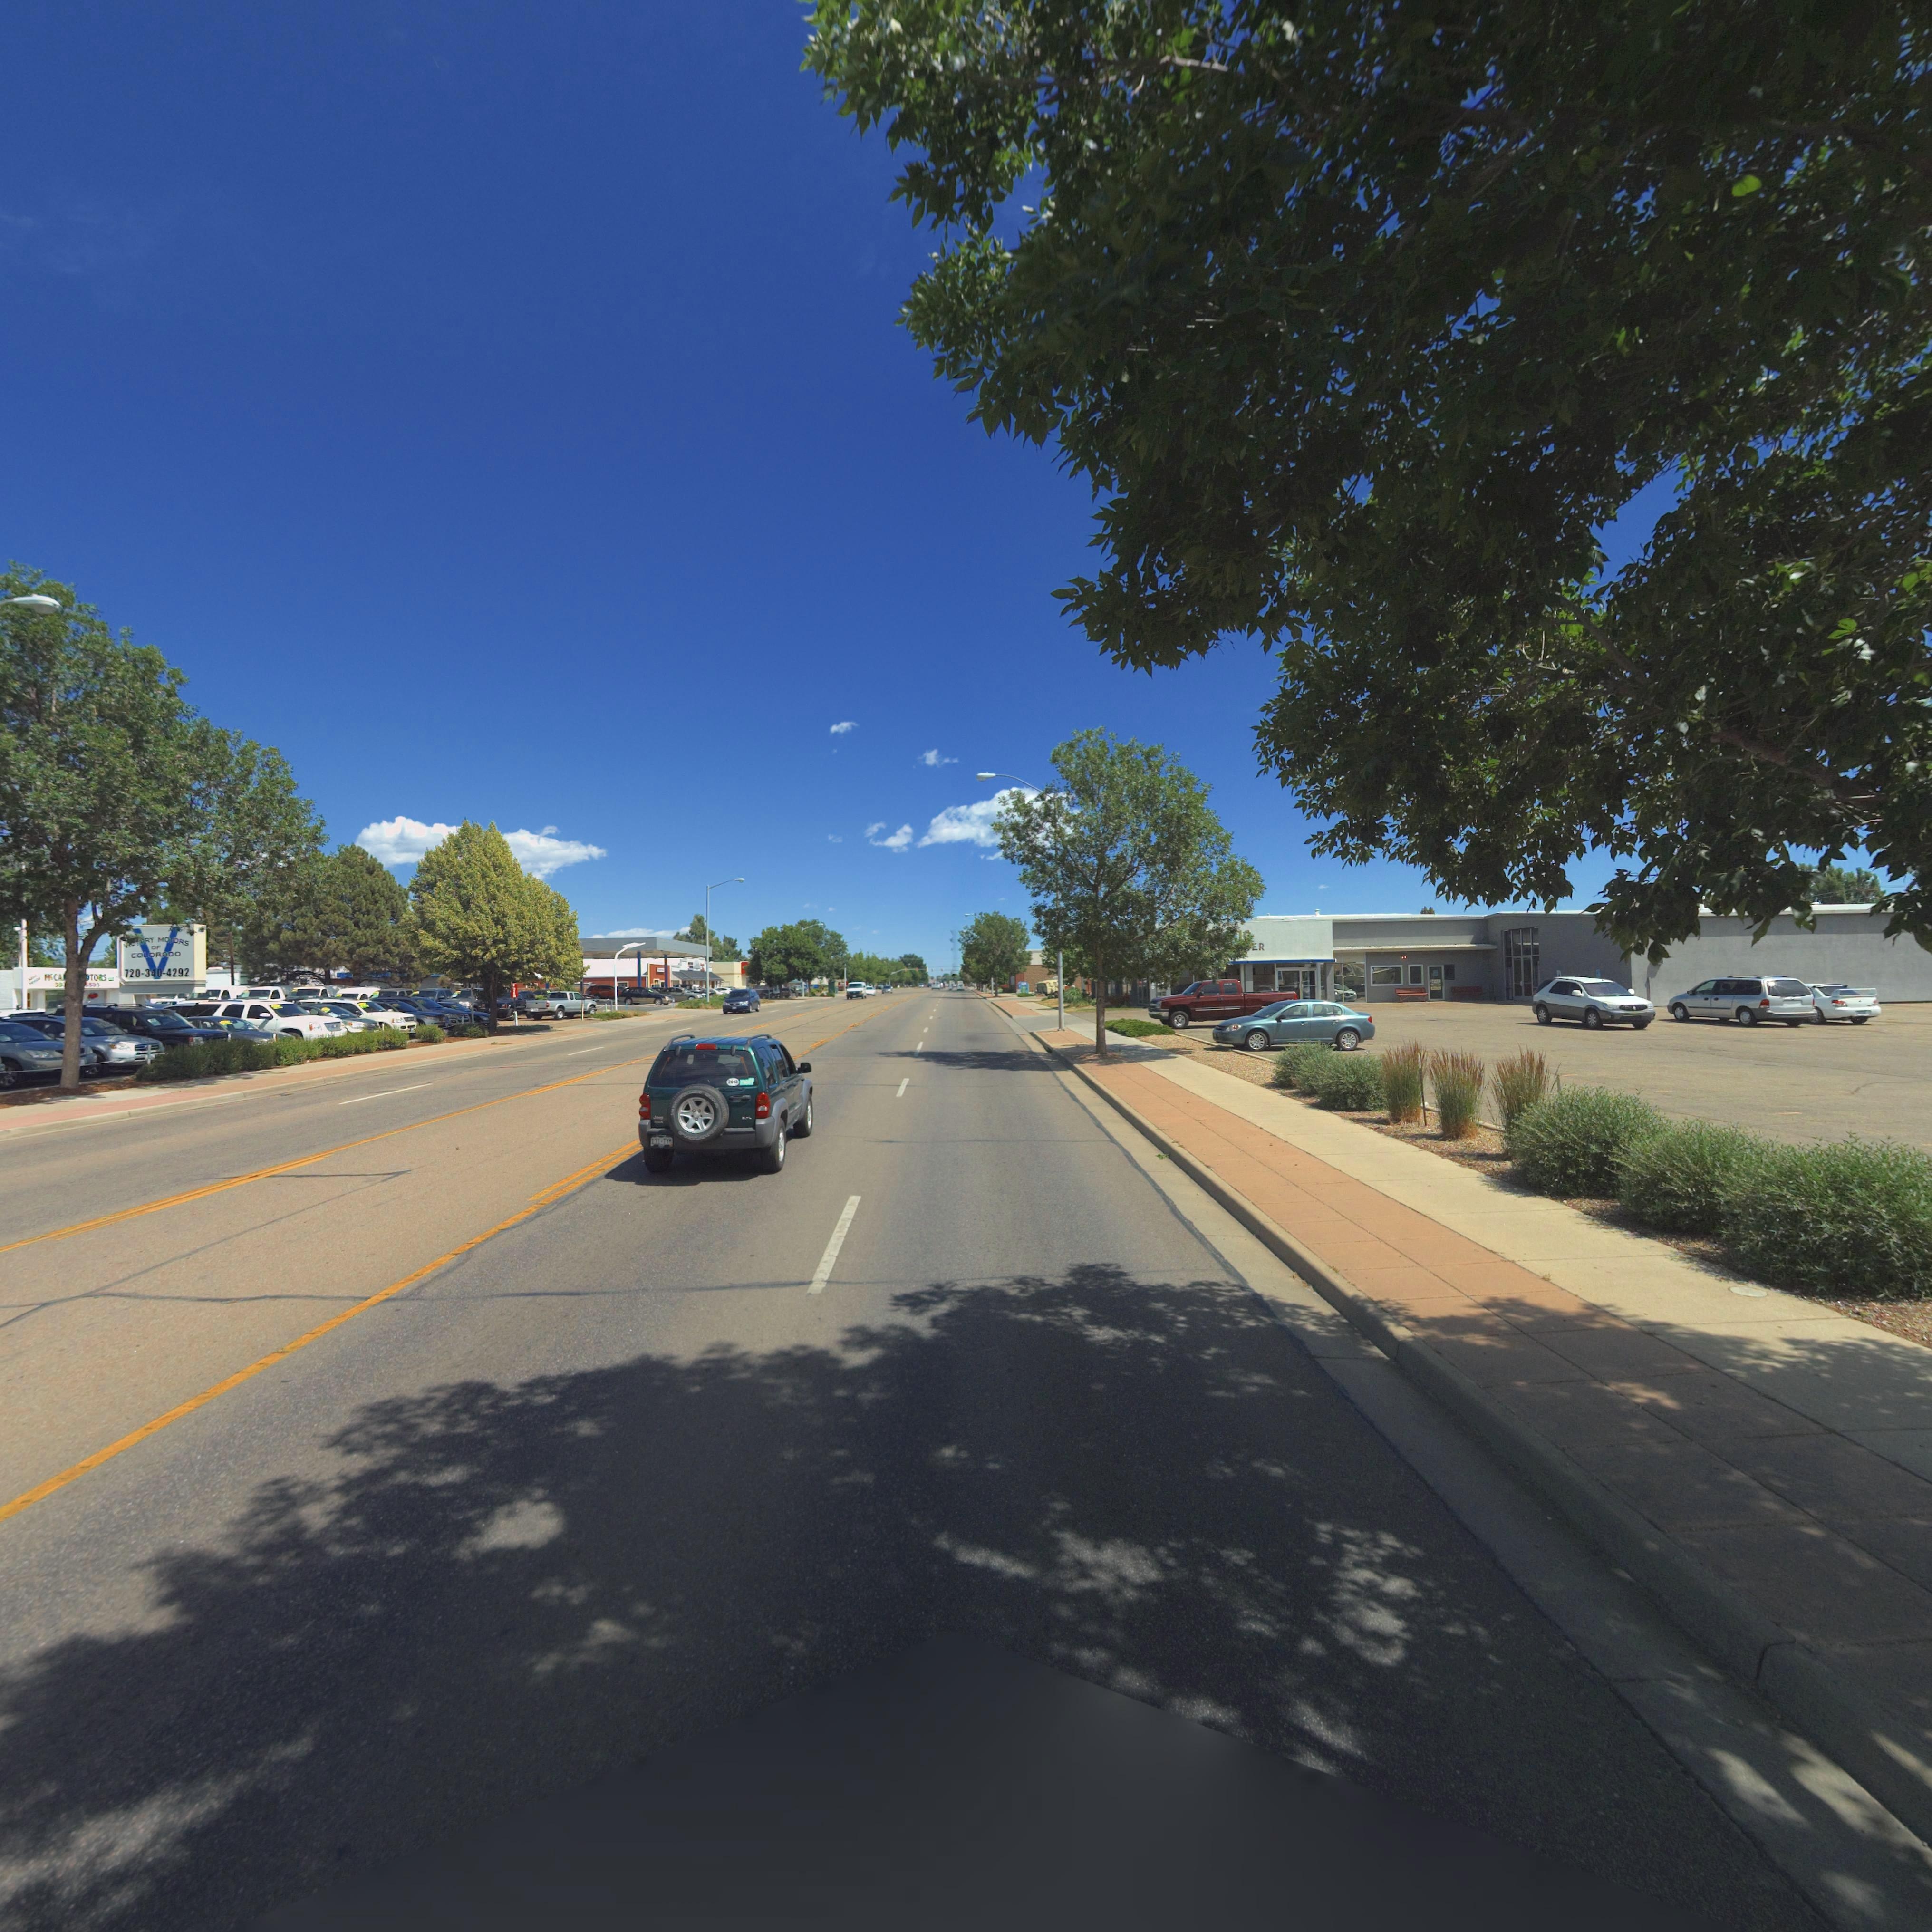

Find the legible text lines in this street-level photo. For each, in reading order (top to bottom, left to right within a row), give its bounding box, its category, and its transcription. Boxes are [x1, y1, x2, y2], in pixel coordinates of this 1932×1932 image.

[122, 936, 190, 948] BusinessName: V****RY MOTORS
[150, 945, 161, 950] BusinessName: OF
[1251, 942, 1265, 951] BusinessName: ER
[130, 951, 181, 958] BusinessName: COLORADO
[44, 973, 107, 982] BusinessName: M*CA*** **TORS